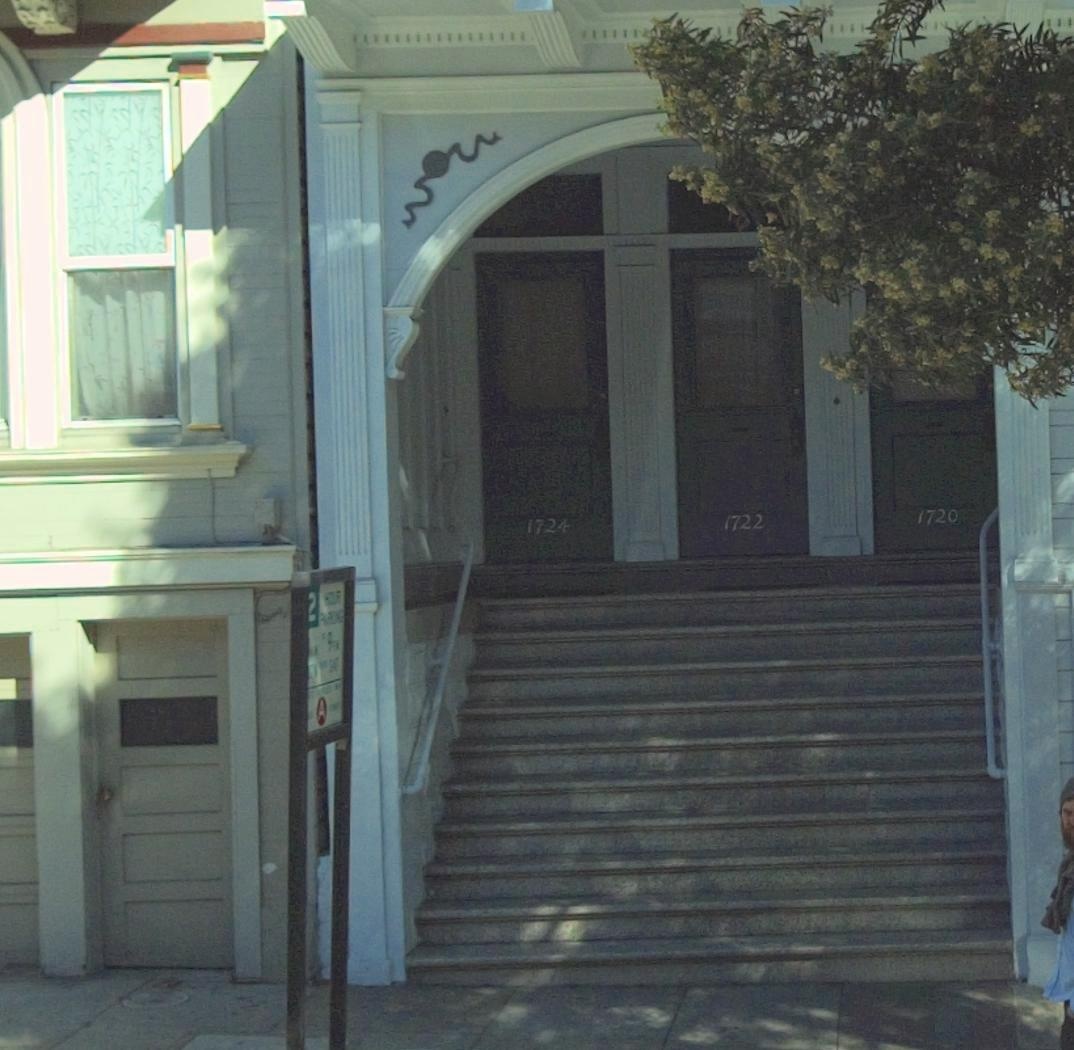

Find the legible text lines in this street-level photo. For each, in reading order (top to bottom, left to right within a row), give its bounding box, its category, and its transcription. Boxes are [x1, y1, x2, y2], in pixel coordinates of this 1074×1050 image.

[525, 517, 572, 536] StreetNumber: 1724
[722, 513, 765, 531] StreetNumber: 1722
[916, 508, 959, 525] StreetNumber: 1720
[323, 588, 342, 608] None: HOUR
[316, 697, 329, 722] None: A